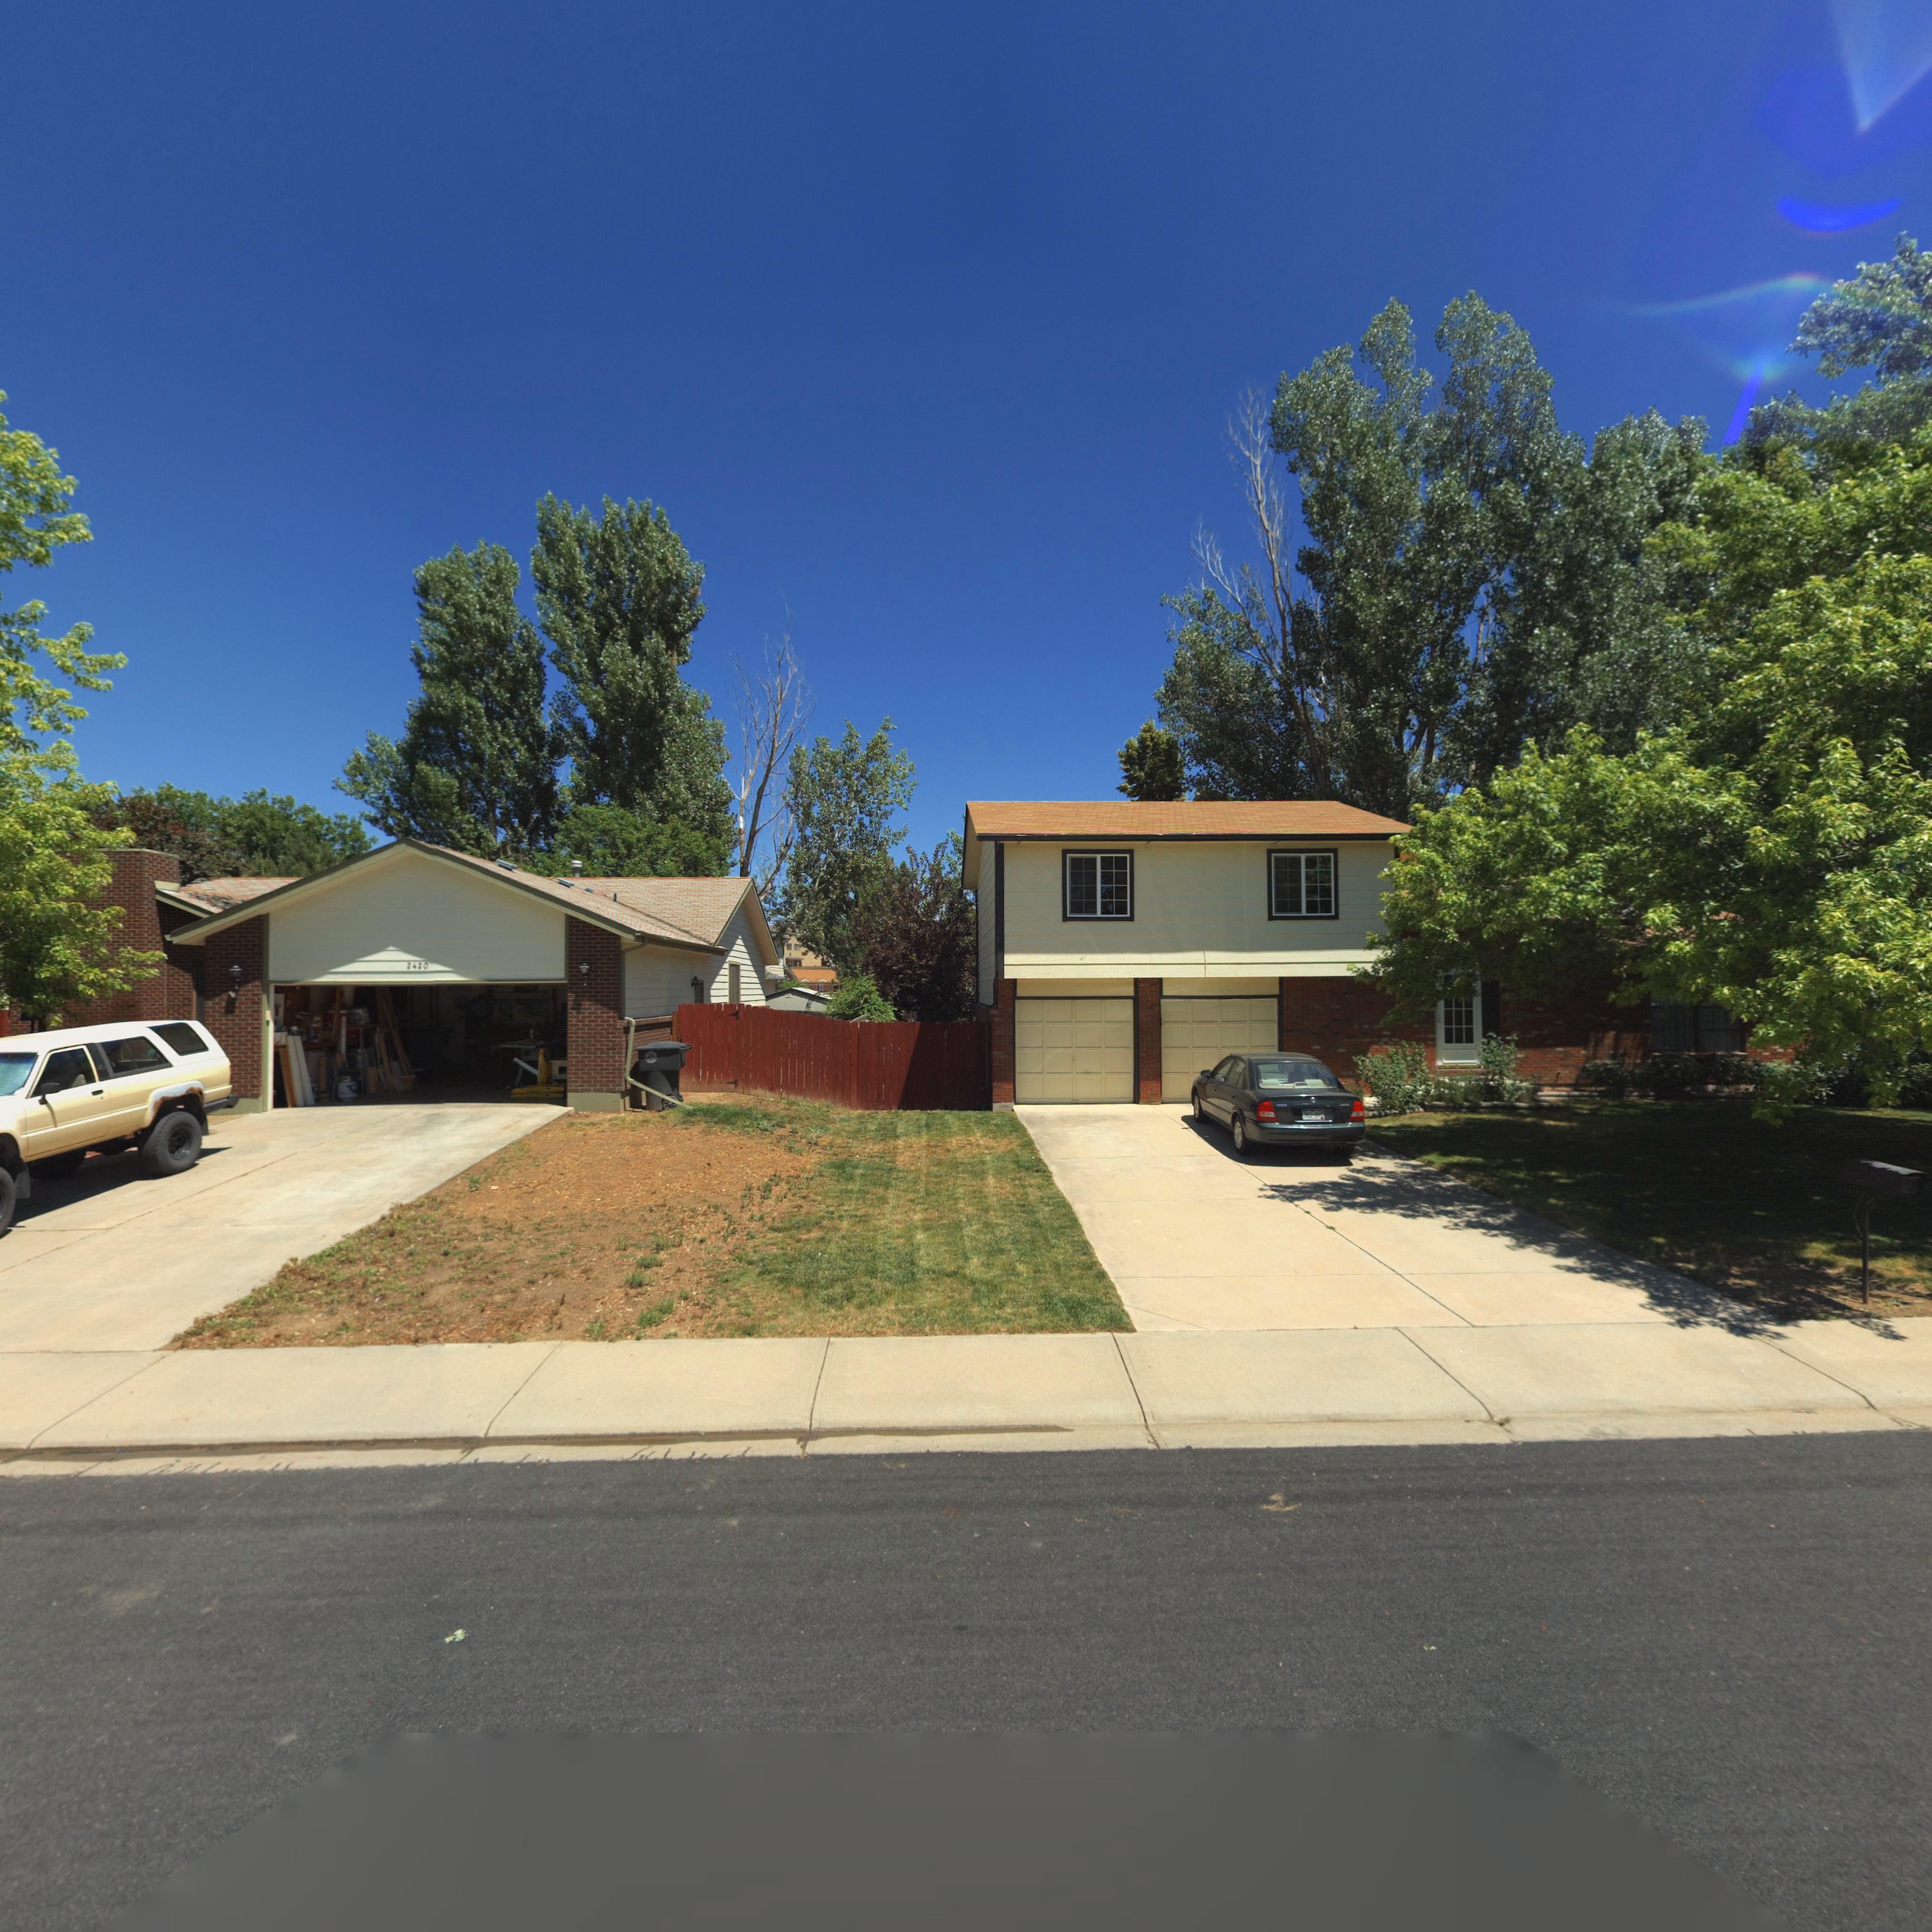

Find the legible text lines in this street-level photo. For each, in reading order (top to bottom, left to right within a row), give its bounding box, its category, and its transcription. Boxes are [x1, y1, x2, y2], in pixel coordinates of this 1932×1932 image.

[406, 962, 428, 970] StreetNumber: 2420